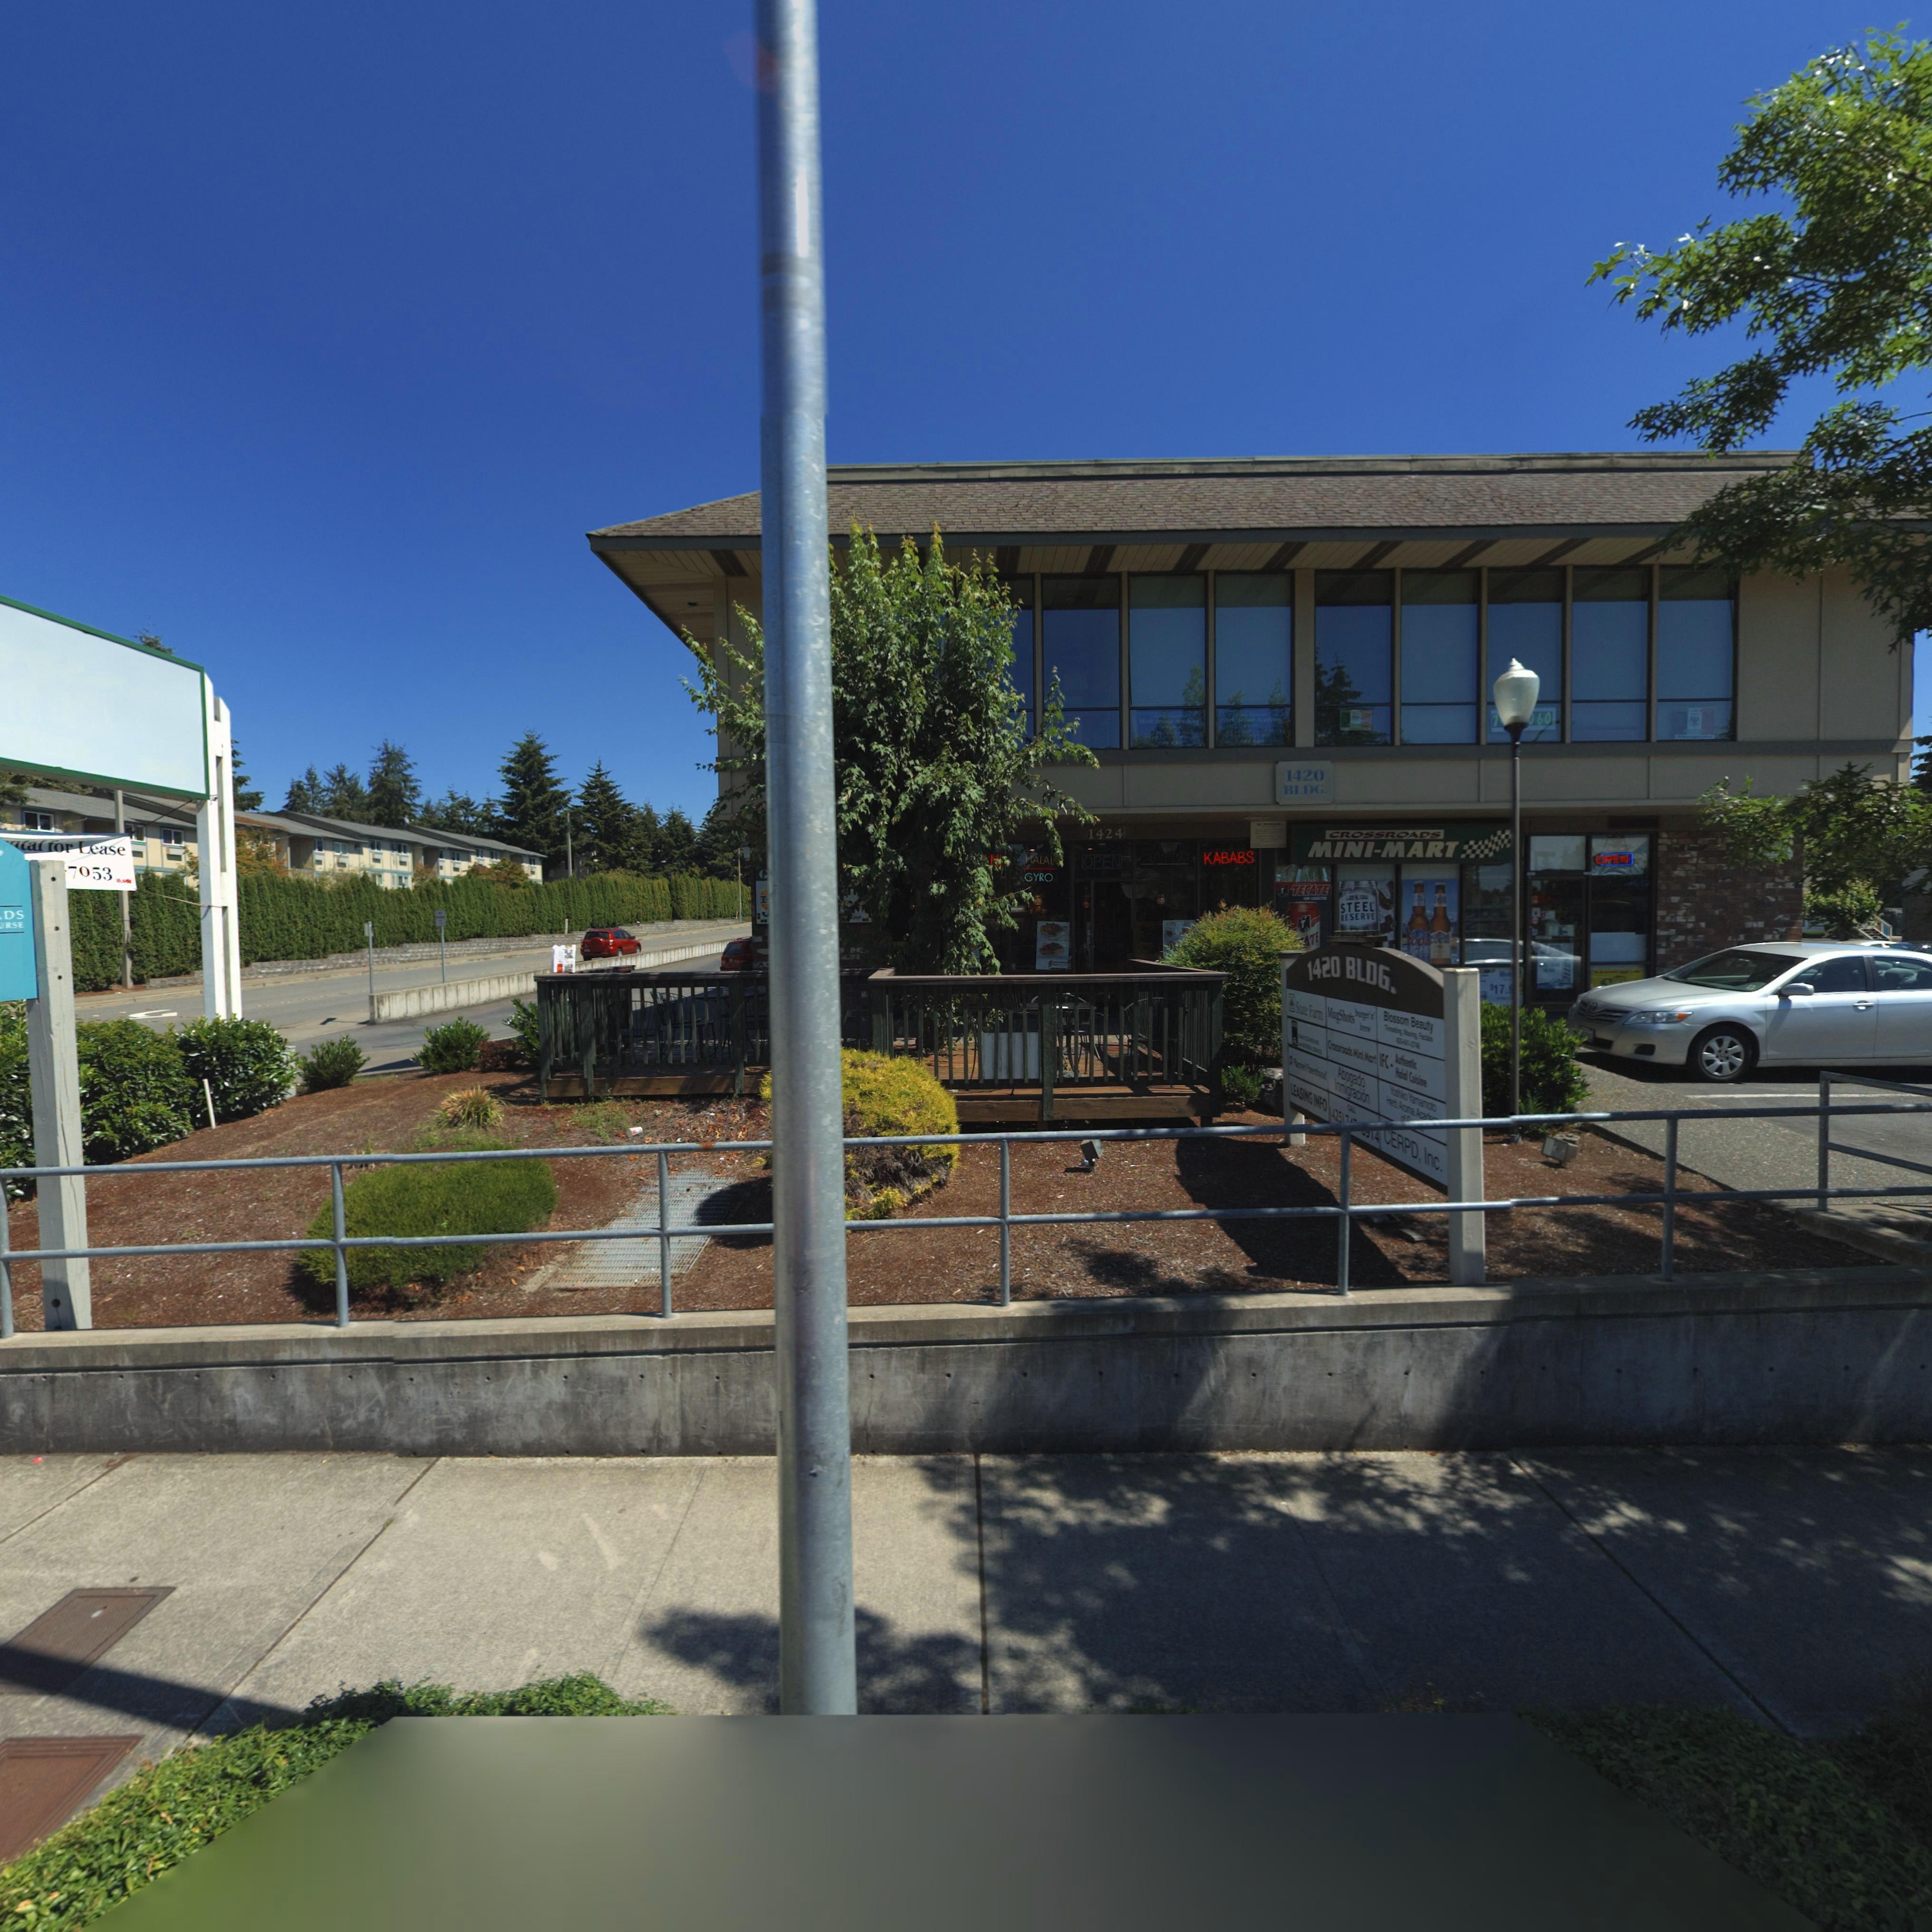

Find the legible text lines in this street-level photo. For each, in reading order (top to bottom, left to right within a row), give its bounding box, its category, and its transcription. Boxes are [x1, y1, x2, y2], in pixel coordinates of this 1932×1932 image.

[1285, 769, 1324, 782] StreetNumber: 1420
[1088, 828, 1123, 839] StreetNumber: 1424
[1329, 831, 1441, 838] BusinessName: CROSSROADS
[1307, 840, 1460, 858] BusinessName: MINI*MART
[1305, 956, 1342, 981] StreetNumber: 1420
[1295, 1001, 1323, 1020] BusinessName: State Farm
[1326, 1006, 1355, 1024] BusinessName: MugShots
[1383, 1011, 1434, 1035] BusinessName: Blossom Beauty
[1327, 1040, 1378, 1064] BusinessName: CROSSROADS MINI MART
[1379, 1051, 1389, 1069] BusinessName: IFC
[1394, 1053, 1417, 1069] BusinessName: Authentic
[1336, 1065, 1365, 1088] BusinessName: Abogado
[1395, 1066, 1427, 1087] BusinessName: Halal Cuisine
[1334, 1076, 1371, 1104] BusinessName: Inmigracion